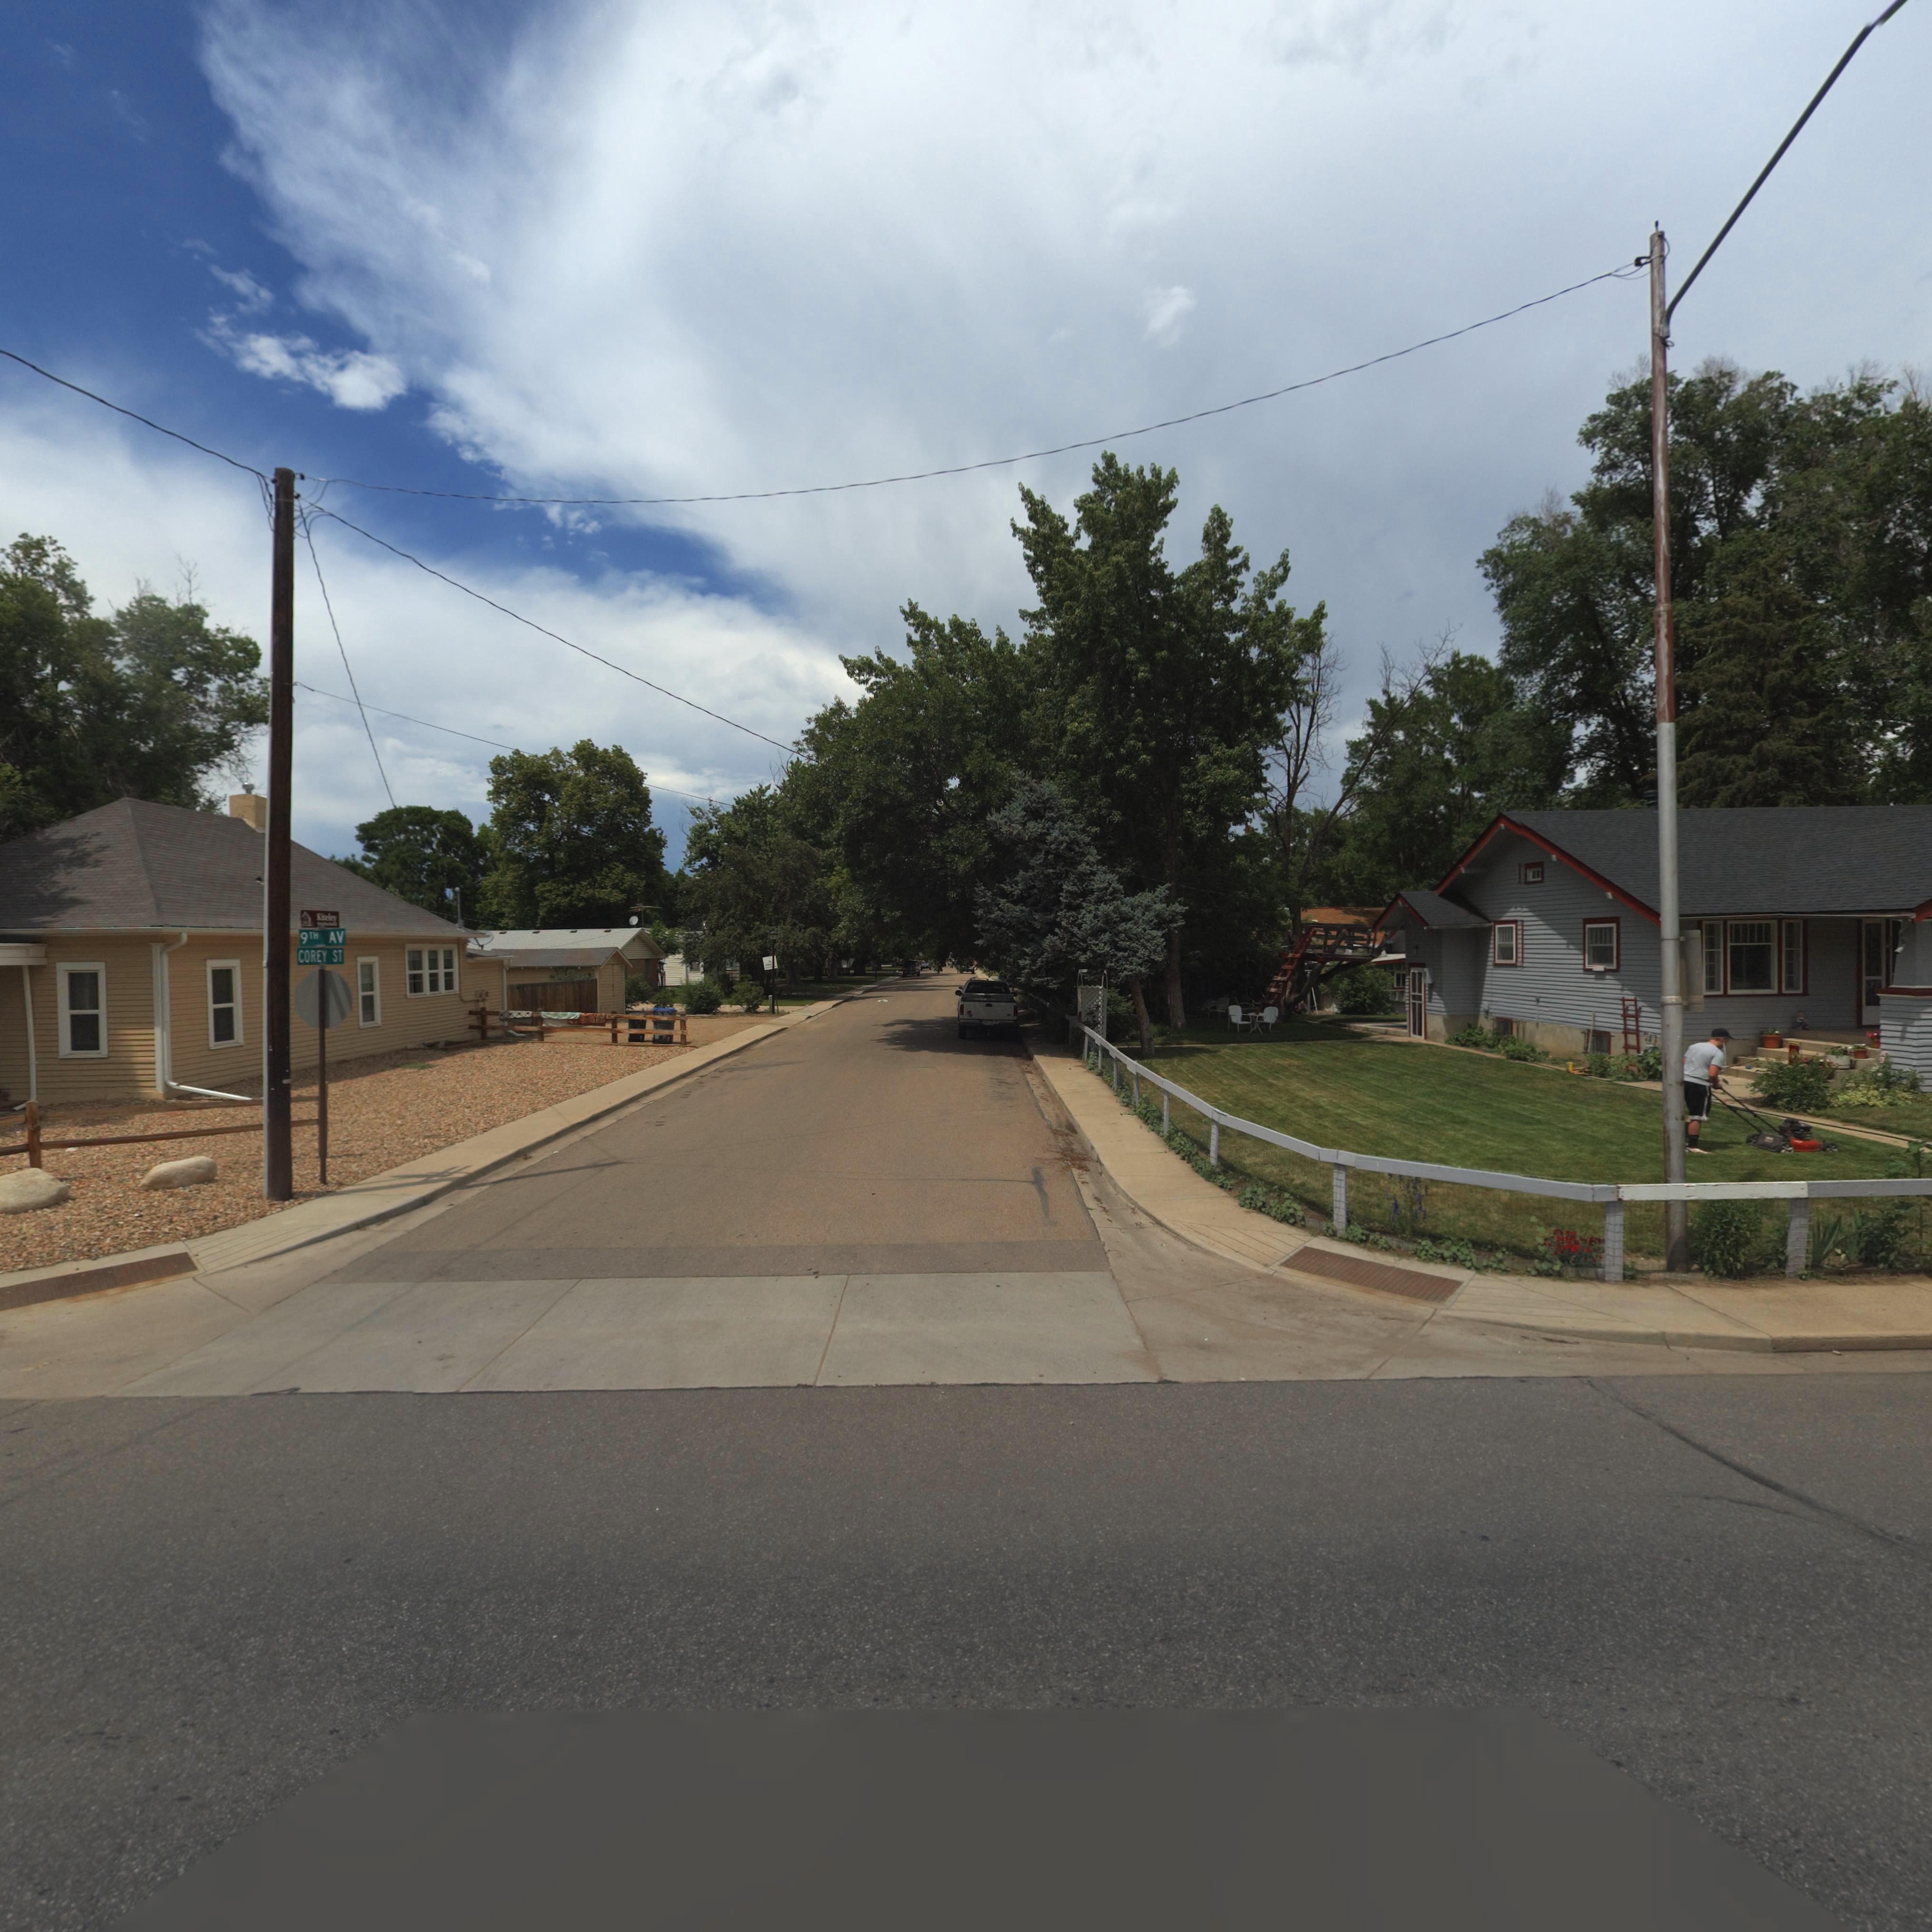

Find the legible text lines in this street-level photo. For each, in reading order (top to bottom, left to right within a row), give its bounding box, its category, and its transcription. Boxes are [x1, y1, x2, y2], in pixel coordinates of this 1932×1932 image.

[299, 930, 344, 945] StreetName: 9TH AV
[298, 949, 342, 963] StreetName: COREY ST